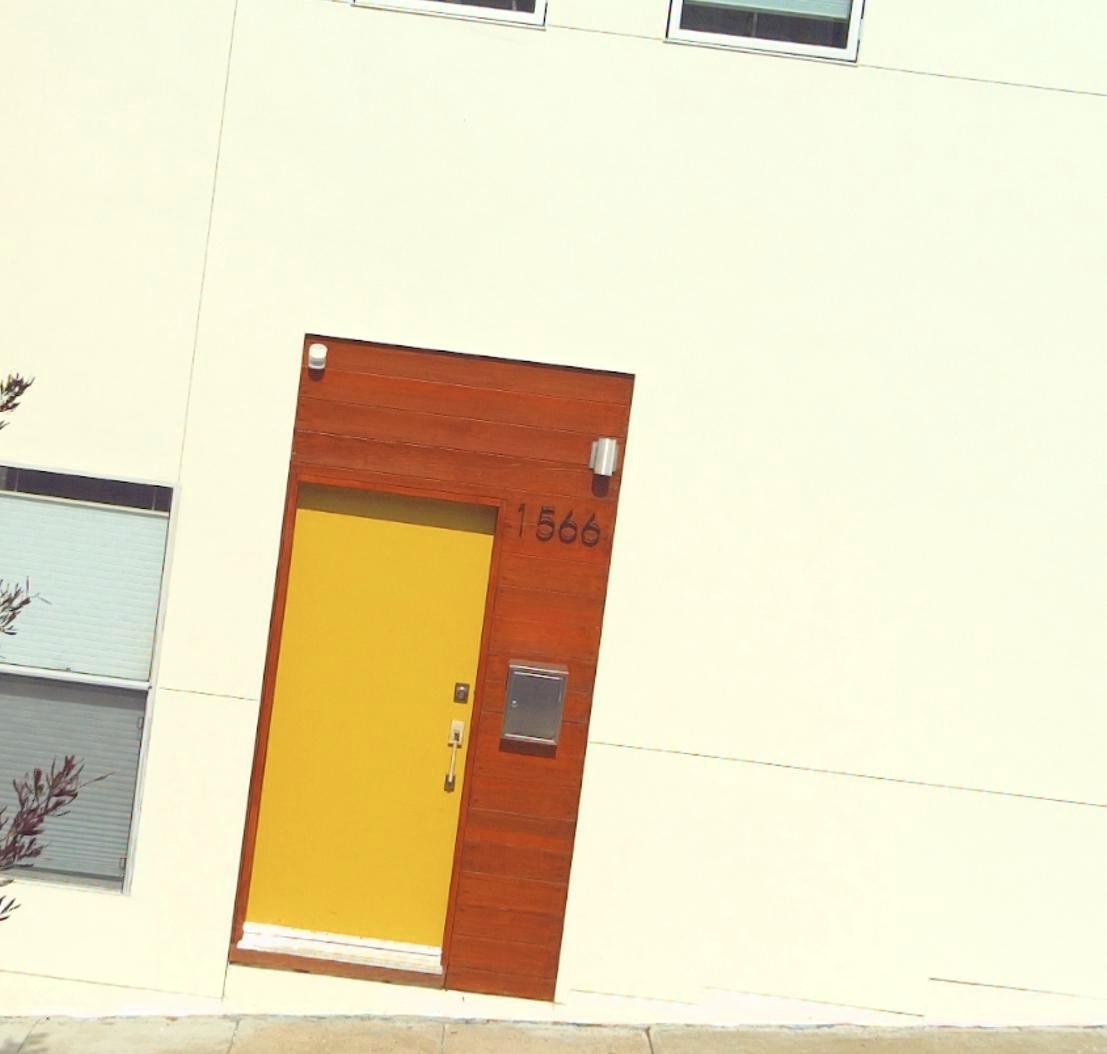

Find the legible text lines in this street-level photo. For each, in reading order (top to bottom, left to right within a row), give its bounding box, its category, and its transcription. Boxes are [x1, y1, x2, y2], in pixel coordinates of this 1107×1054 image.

[516, 501, 603, 548] StreetNumber: 1566